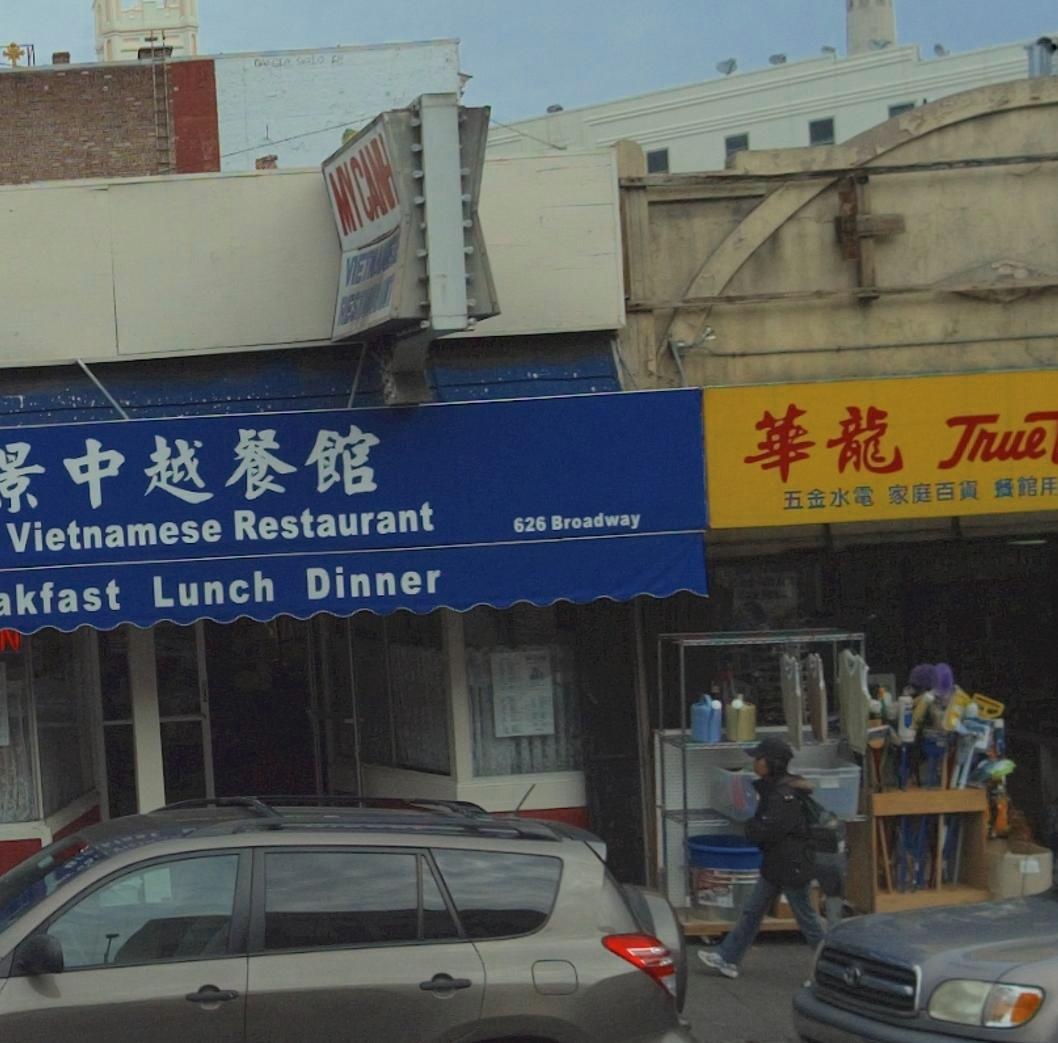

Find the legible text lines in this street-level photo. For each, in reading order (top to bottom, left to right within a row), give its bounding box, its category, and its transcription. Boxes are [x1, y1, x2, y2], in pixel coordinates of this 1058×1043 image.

[323, 141, 391, 244] BusinessName: MY CA
[342, 246, 377, 292] None: VIET
[334, 288, 365, 332] None: RES
[930, 410, 1051, 478] BusinessName: True
[1, 495, 440, 556] BusinessName: Vietnamese Restaurant
[510, 512, 551, 537] StreetNumber: 626
[548, 506, 644, 535] StreetName: Broadway
[11, 559, 449, 621] None: kfast Lunch Dinner
[0, 626, 24, 654] None: N